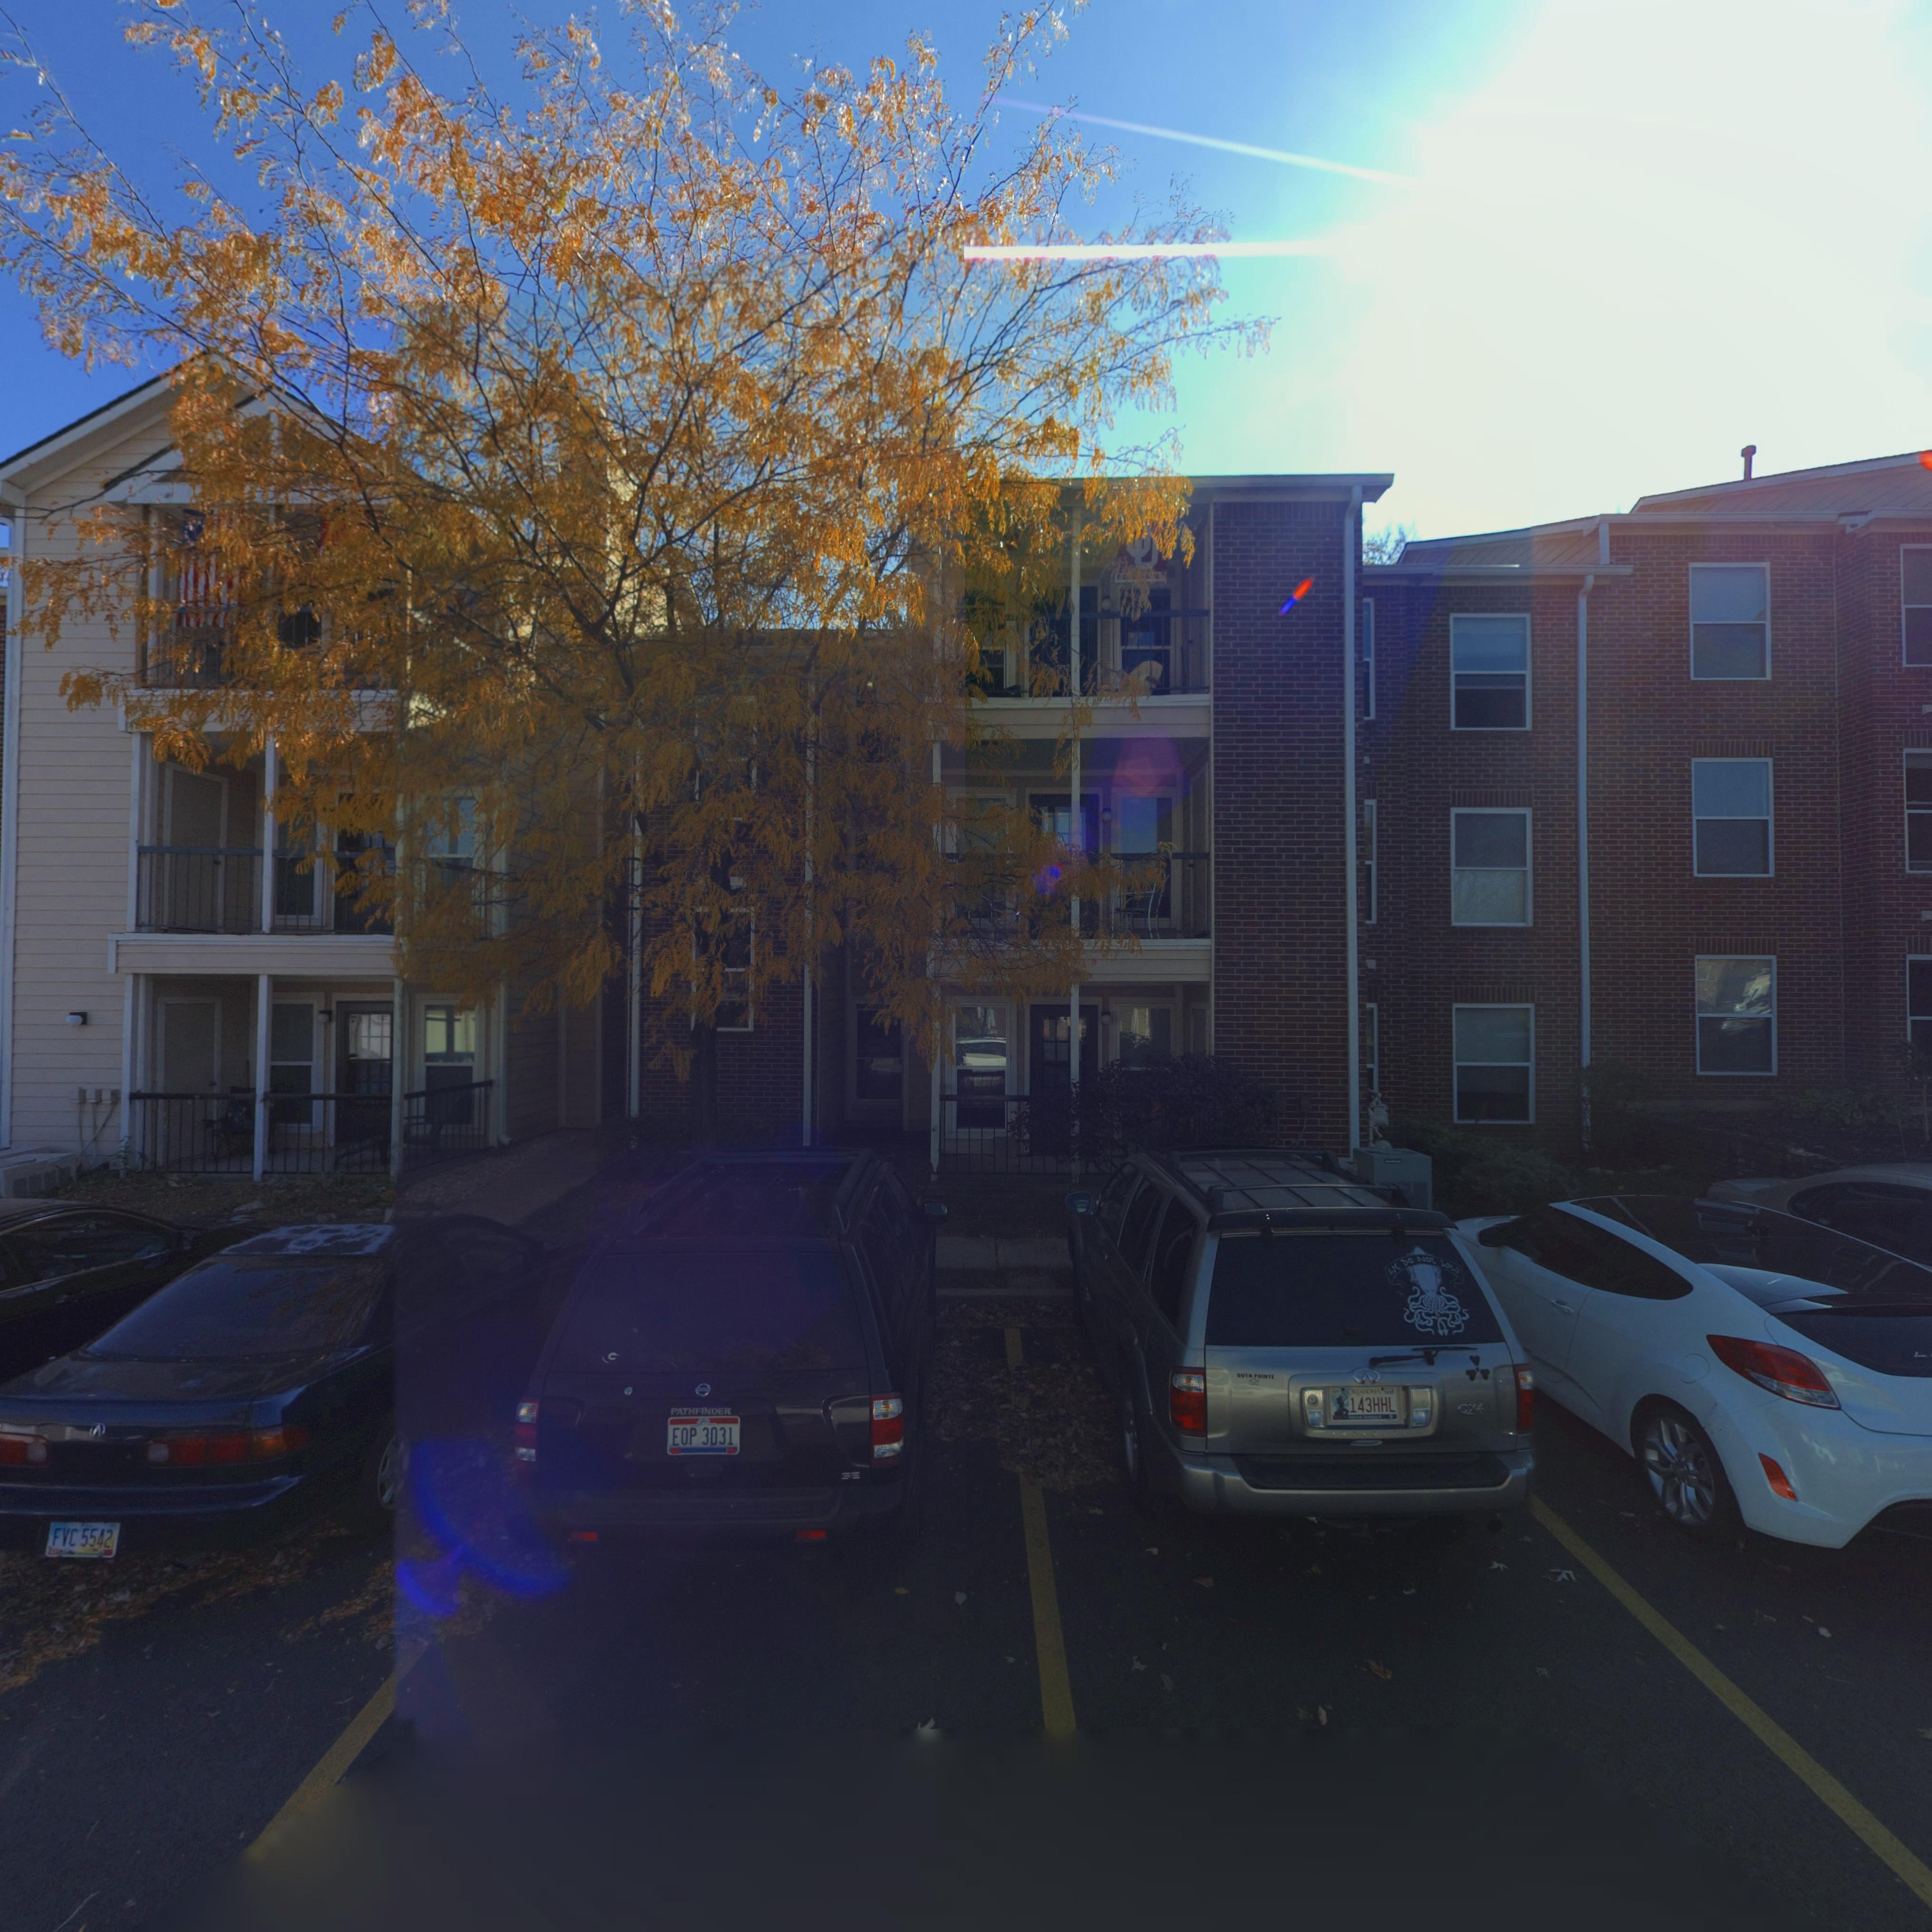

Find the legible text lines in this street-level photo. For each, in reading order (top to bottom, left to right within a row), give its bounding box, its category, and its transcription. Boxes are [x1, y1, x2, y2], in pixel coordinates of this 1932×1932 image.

[668, 1405, 734, 1417] None: PATHFINDER
[1348, 1395, 1398, 1415] None: 143HHL
[670, 1425, 736, 1448] None: EOP 3031
[48, 1525, 118, 1551] None: FVC 5542